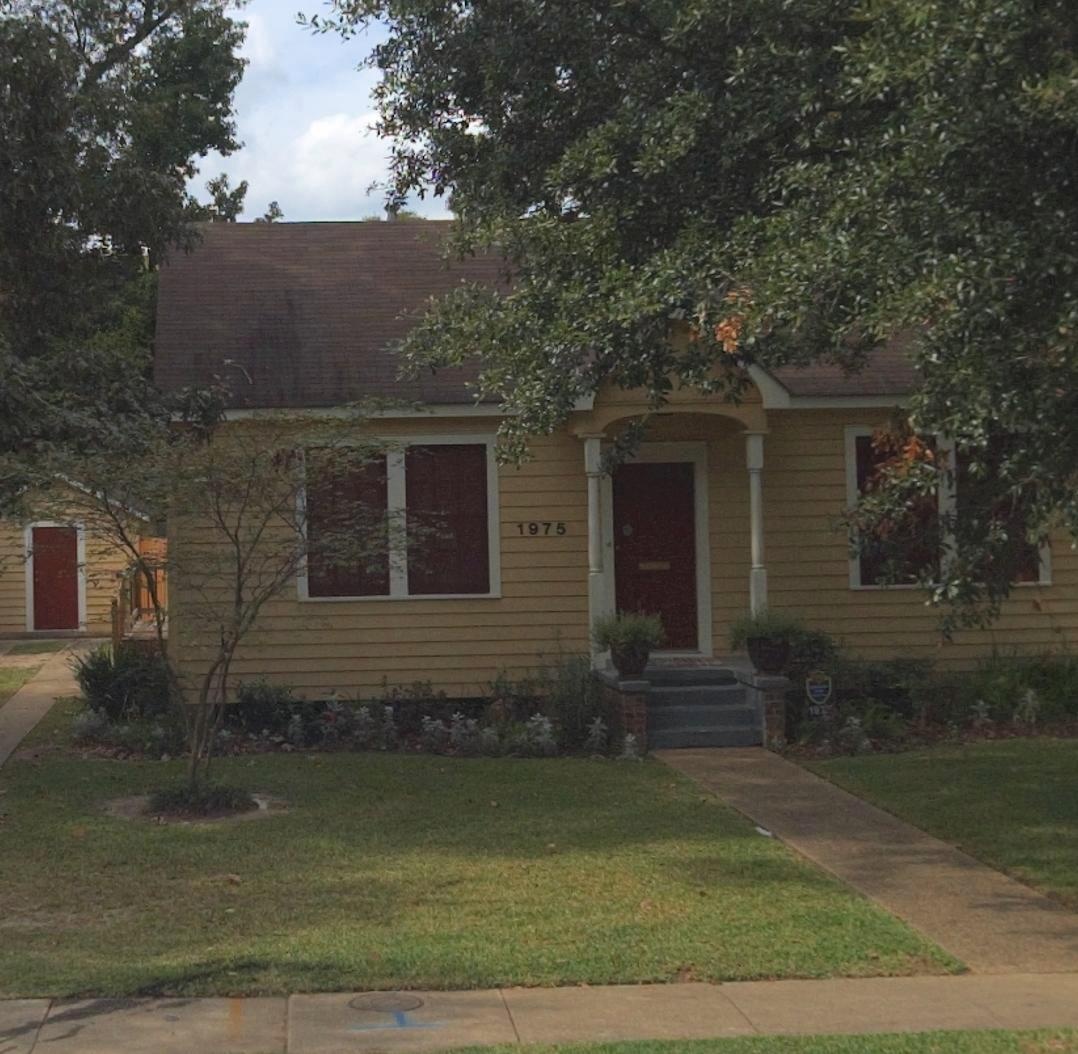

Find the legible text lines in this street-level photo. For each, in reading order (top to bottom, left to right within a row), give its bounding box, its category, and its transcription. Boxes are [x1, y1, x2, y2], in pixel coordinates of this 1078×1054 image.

[515, 521, 567, 537] StreetNumber: 1975
[806, 704, 833, 717] None: 19**